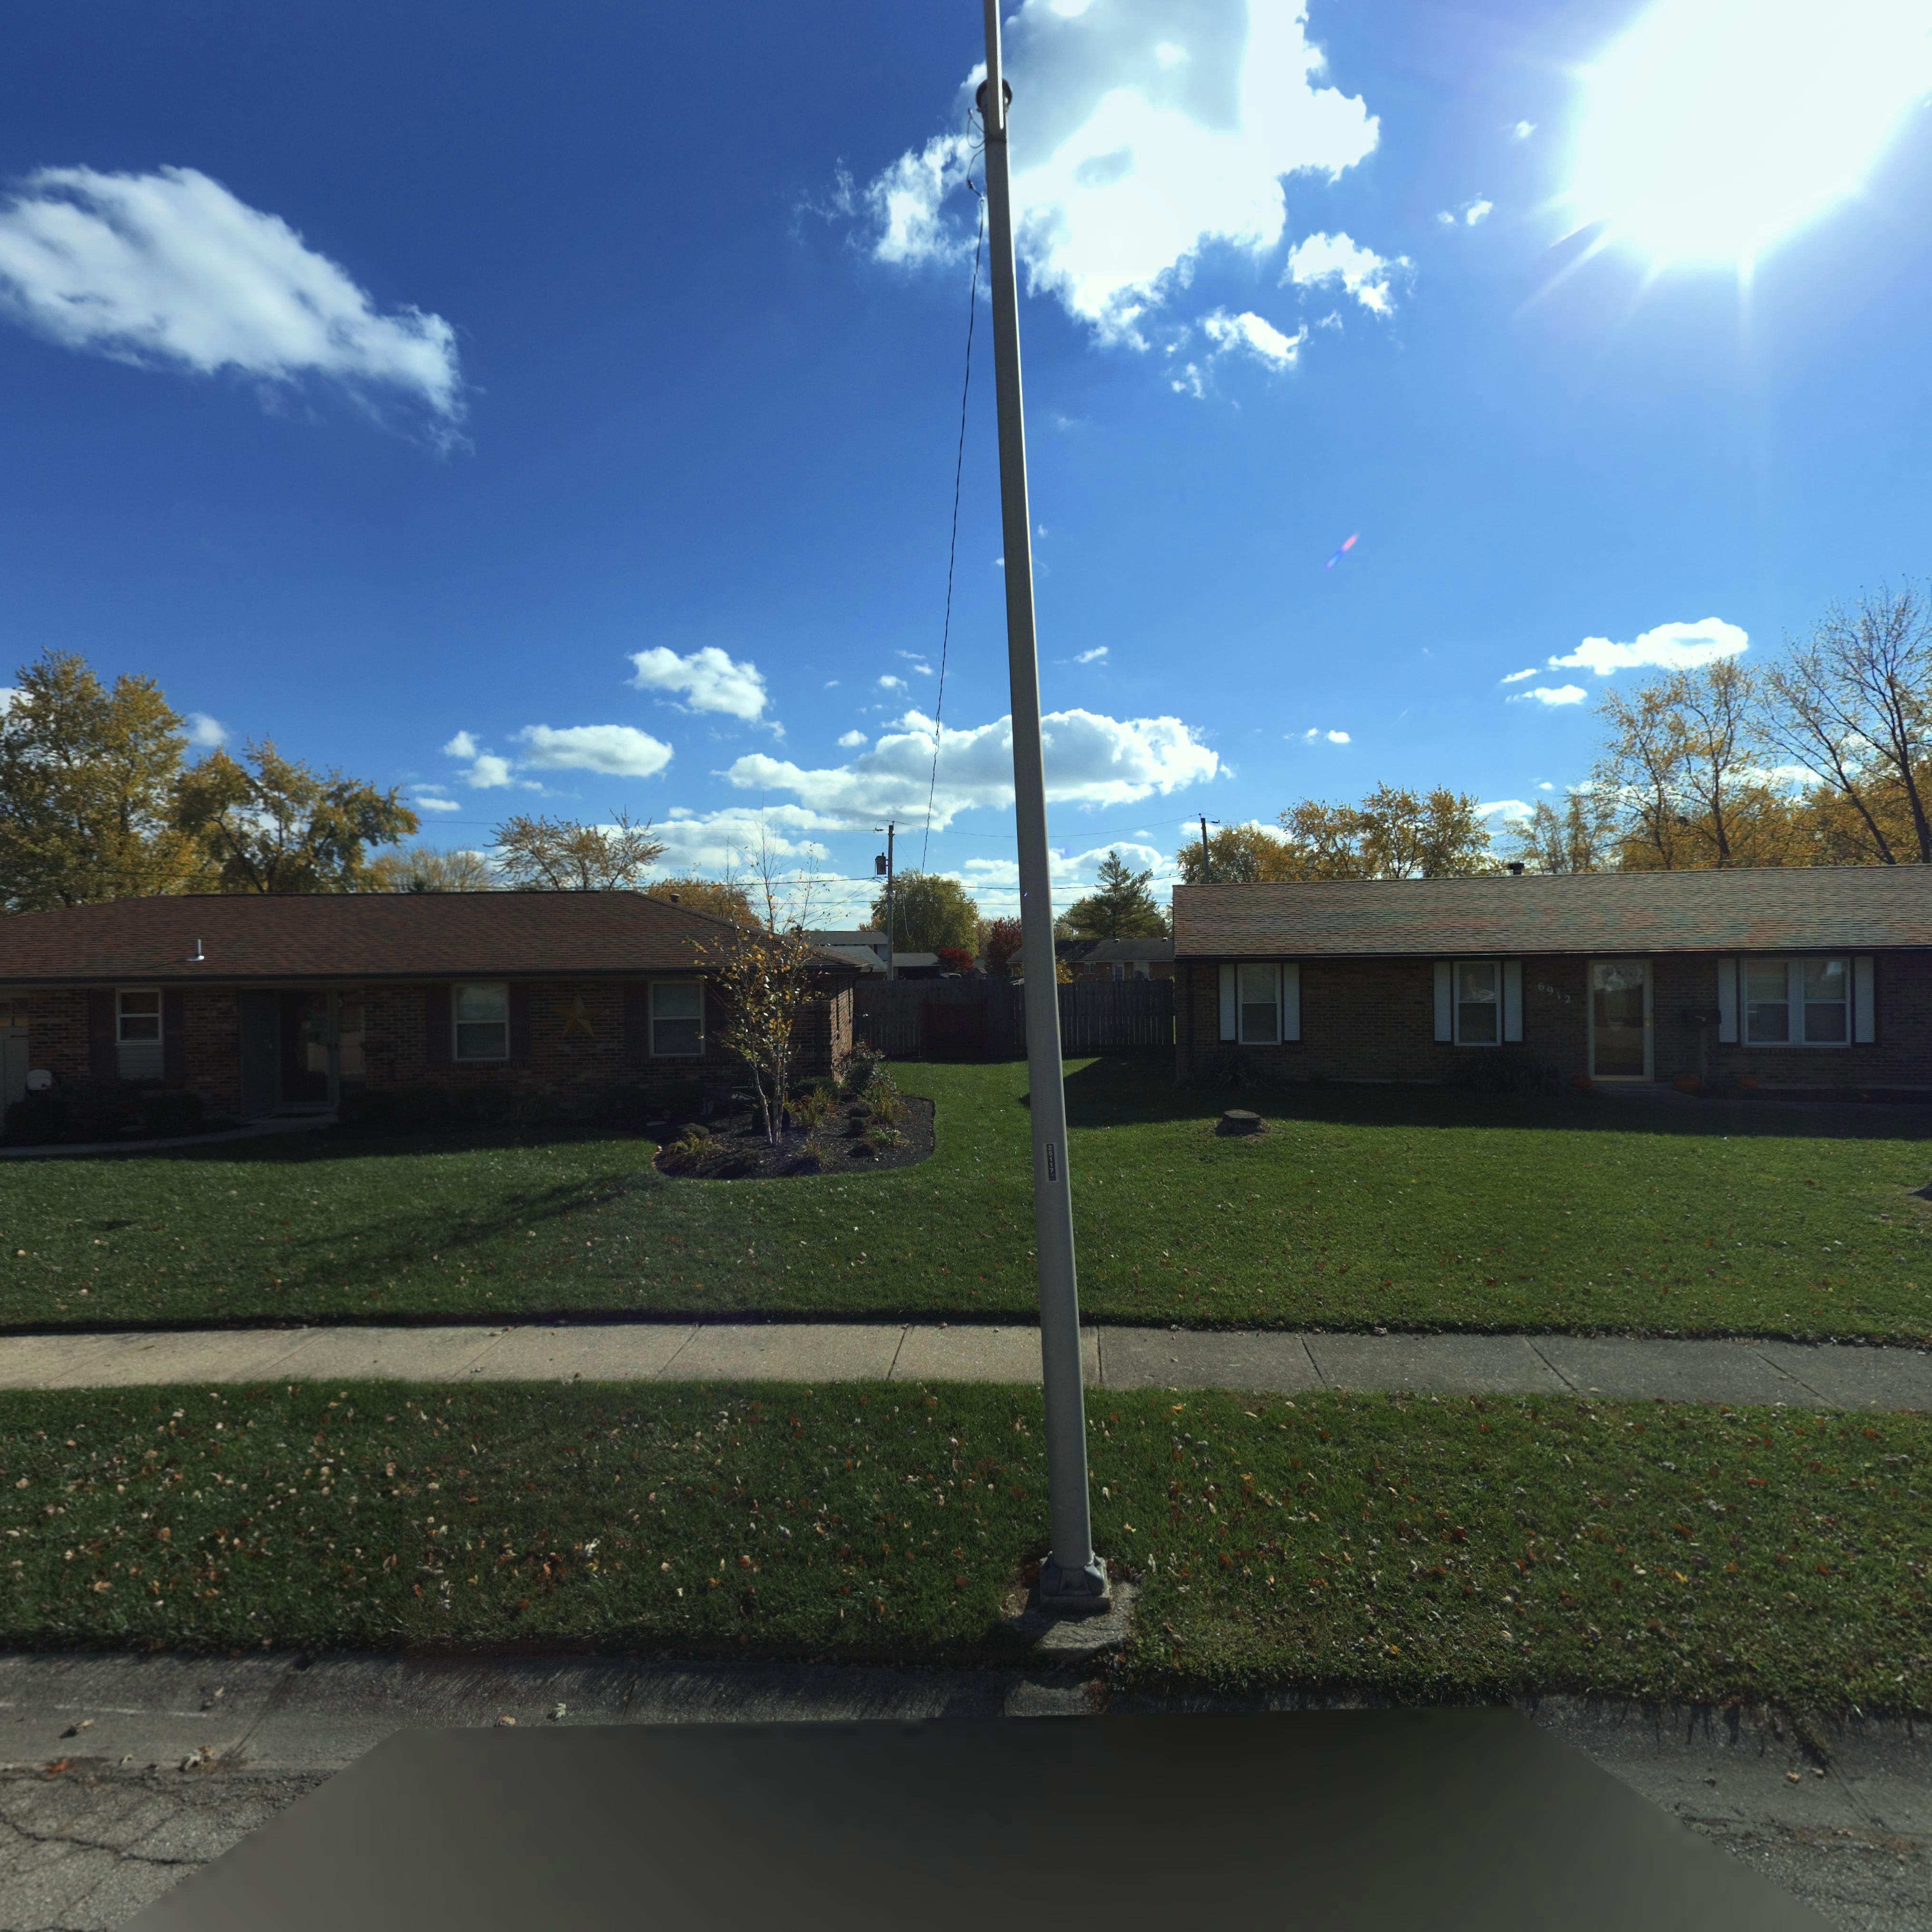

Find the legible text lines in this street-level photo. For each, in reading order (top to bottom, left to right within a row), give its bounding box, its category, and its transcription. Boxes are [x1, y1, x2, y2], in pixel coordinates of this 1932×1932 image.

[1536, 980, 1572, 1005] StreetNumber: 6912